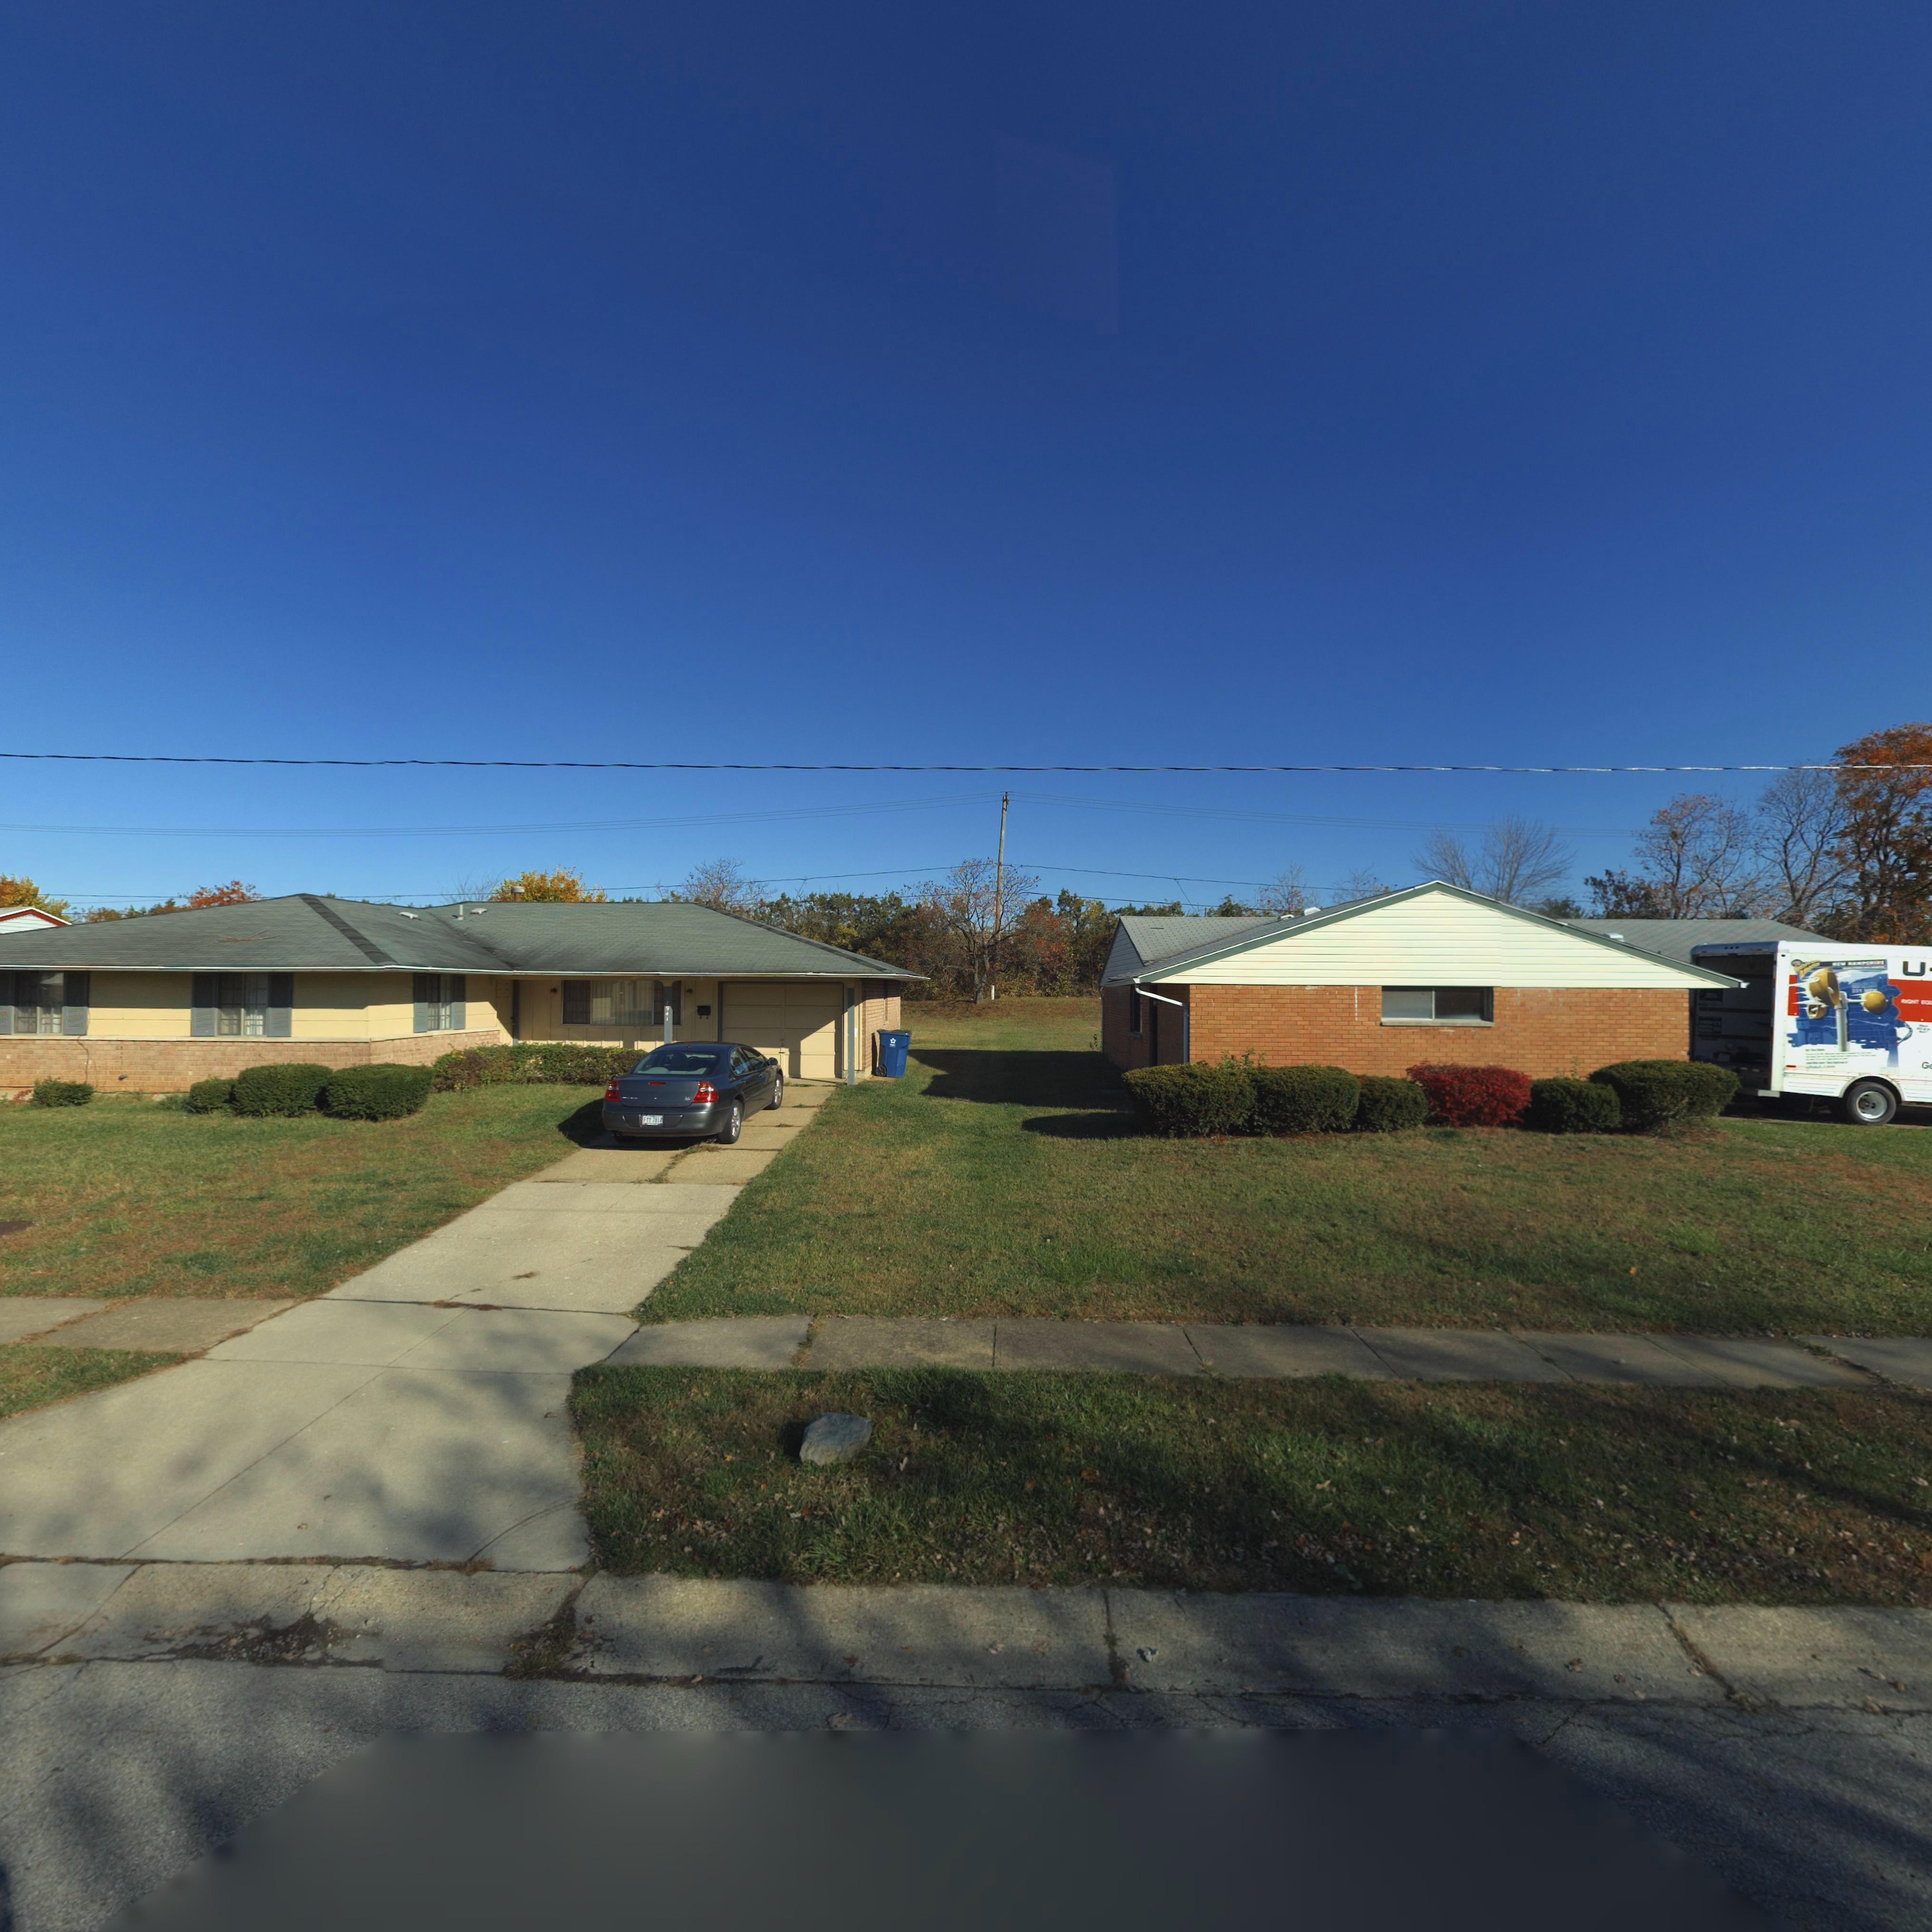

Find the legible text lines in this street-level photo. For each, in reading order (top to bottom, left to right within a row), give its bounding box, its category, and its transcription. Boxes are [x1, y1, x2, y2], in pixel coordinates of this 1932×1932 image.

[665, 1000, 670, 1022] StreetNumber: 7941